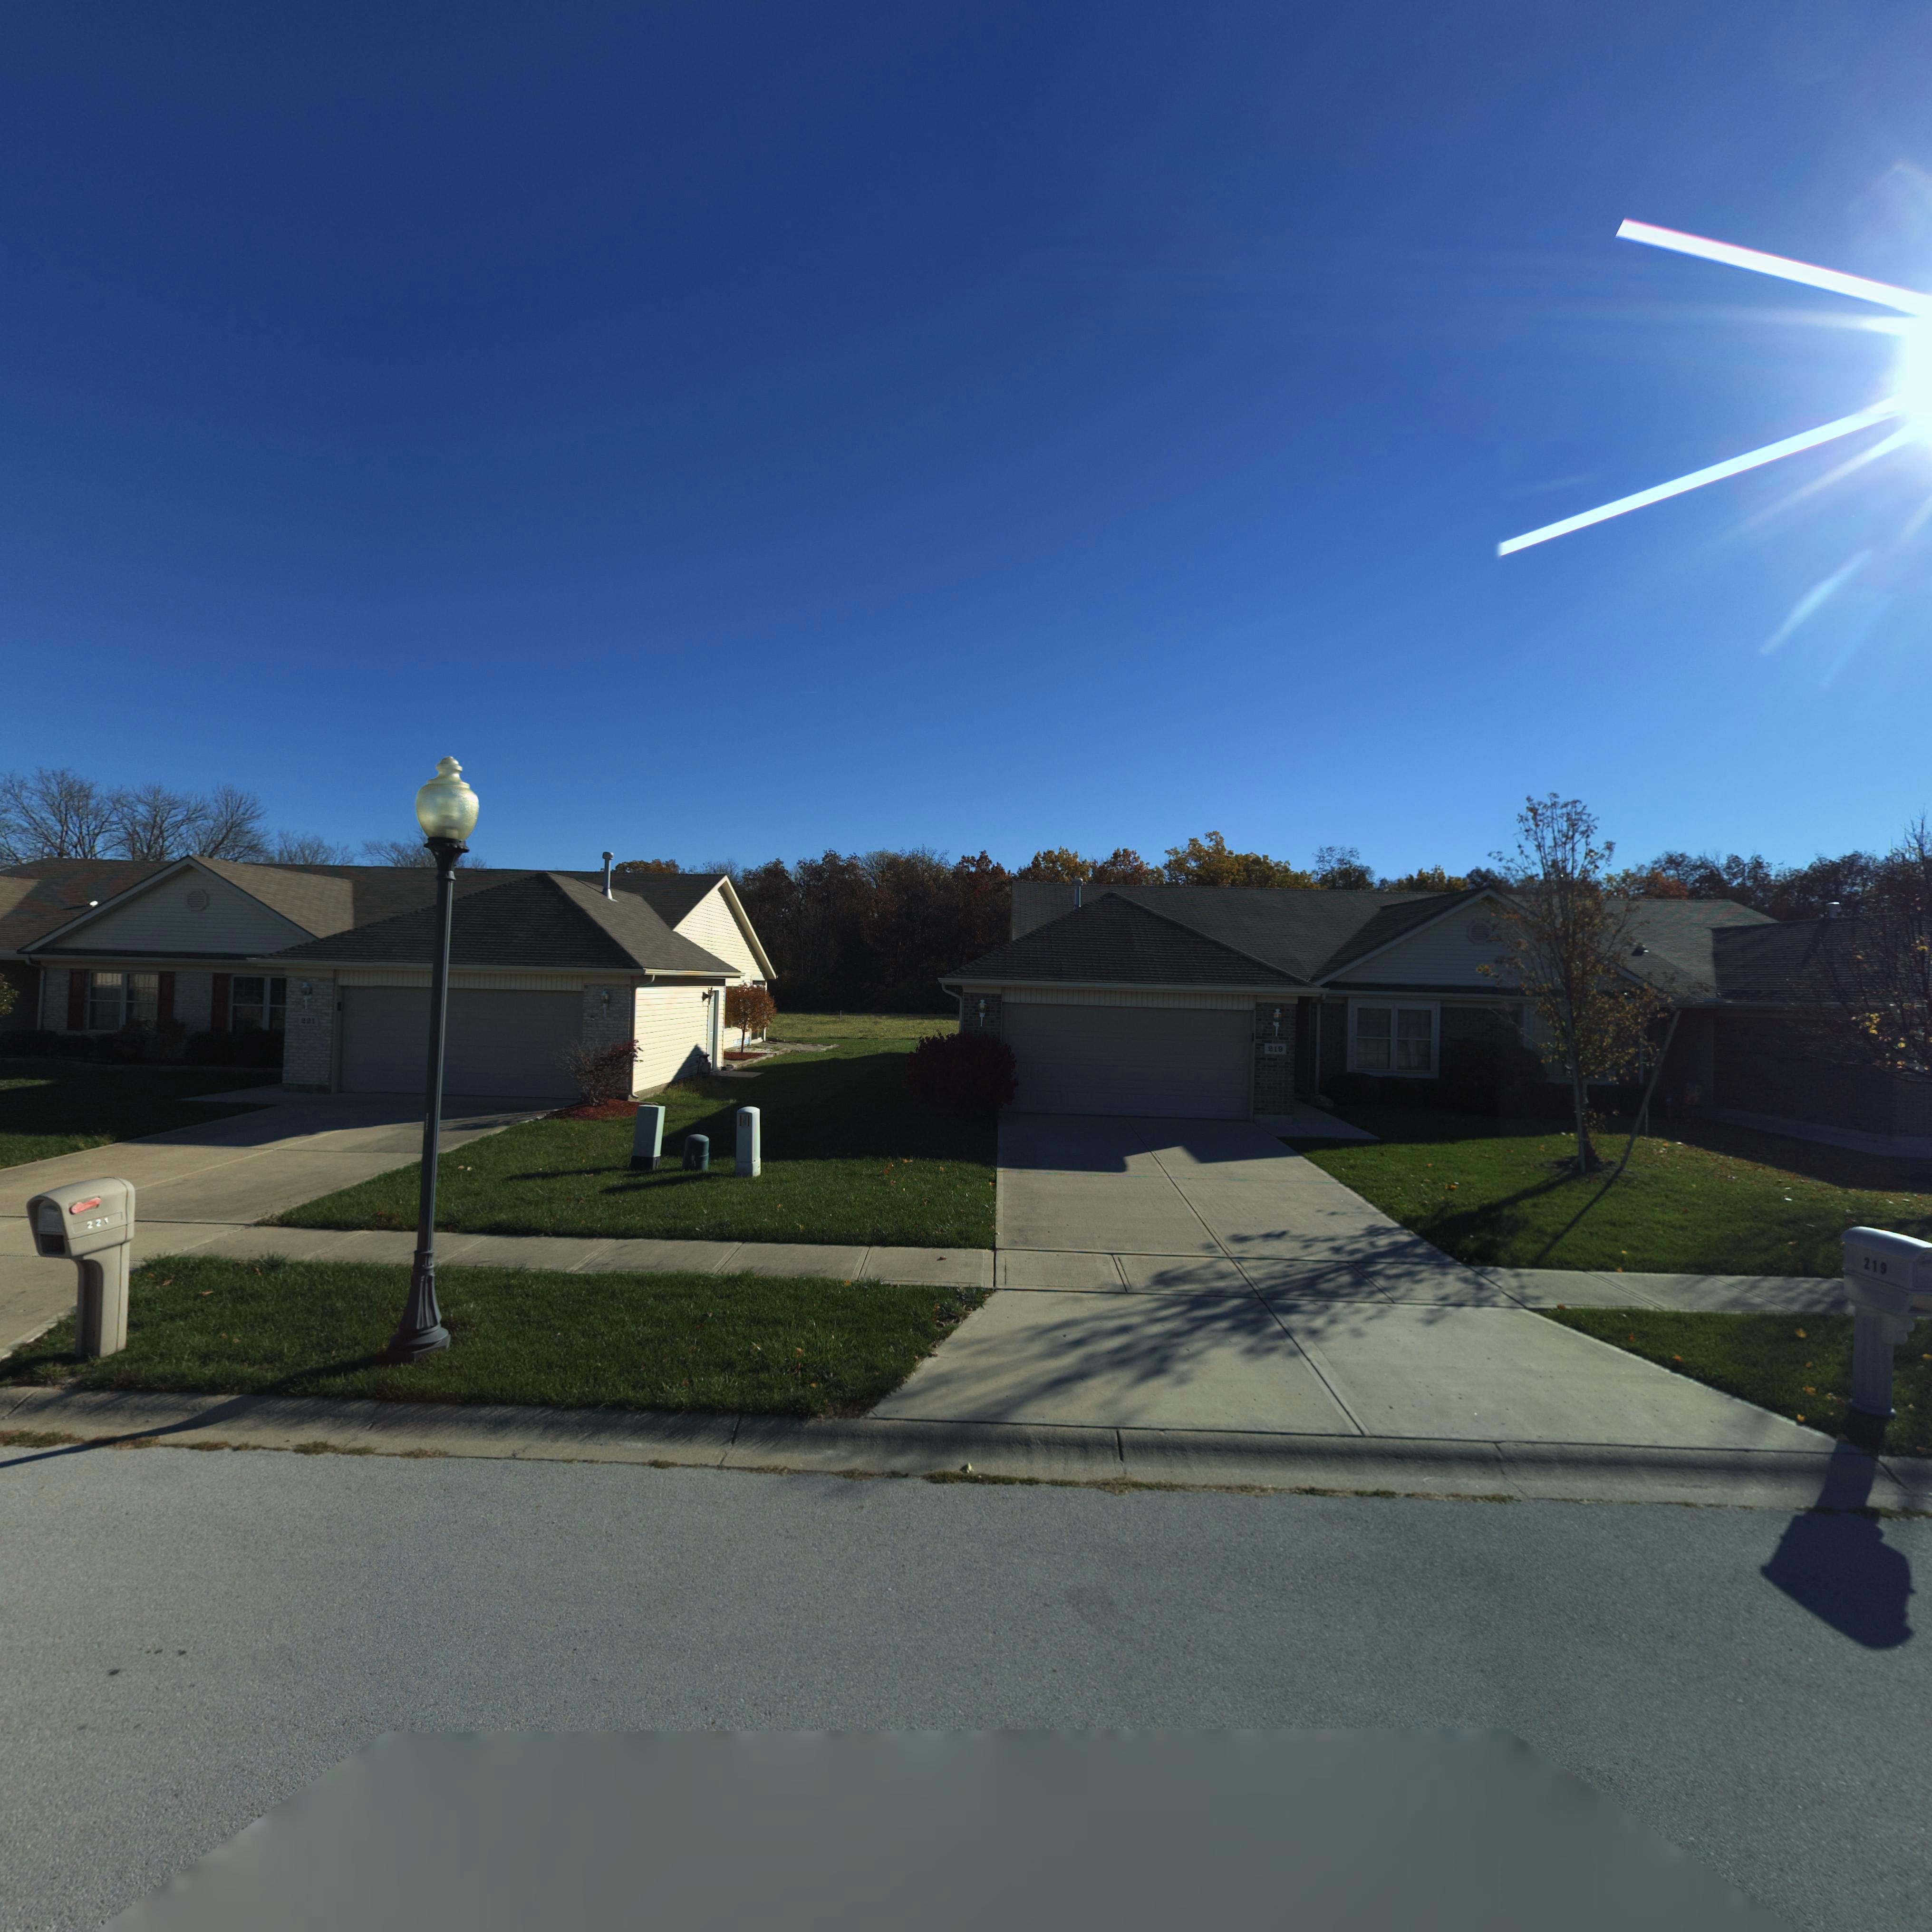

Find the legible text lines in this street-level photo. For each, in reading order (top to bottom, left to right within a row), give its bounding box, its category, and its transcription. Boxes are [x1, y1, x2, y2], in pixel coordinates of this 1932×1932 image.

[299, 1016, 316, 1025] StreetNumber: 221
[1266, 1043, 1285, 1054] StreetNumber: 219
[85, 1214, 111, 1231] StreetNumber: 221
[1861, 1254, 1890, 1278] StreetNumber: 219